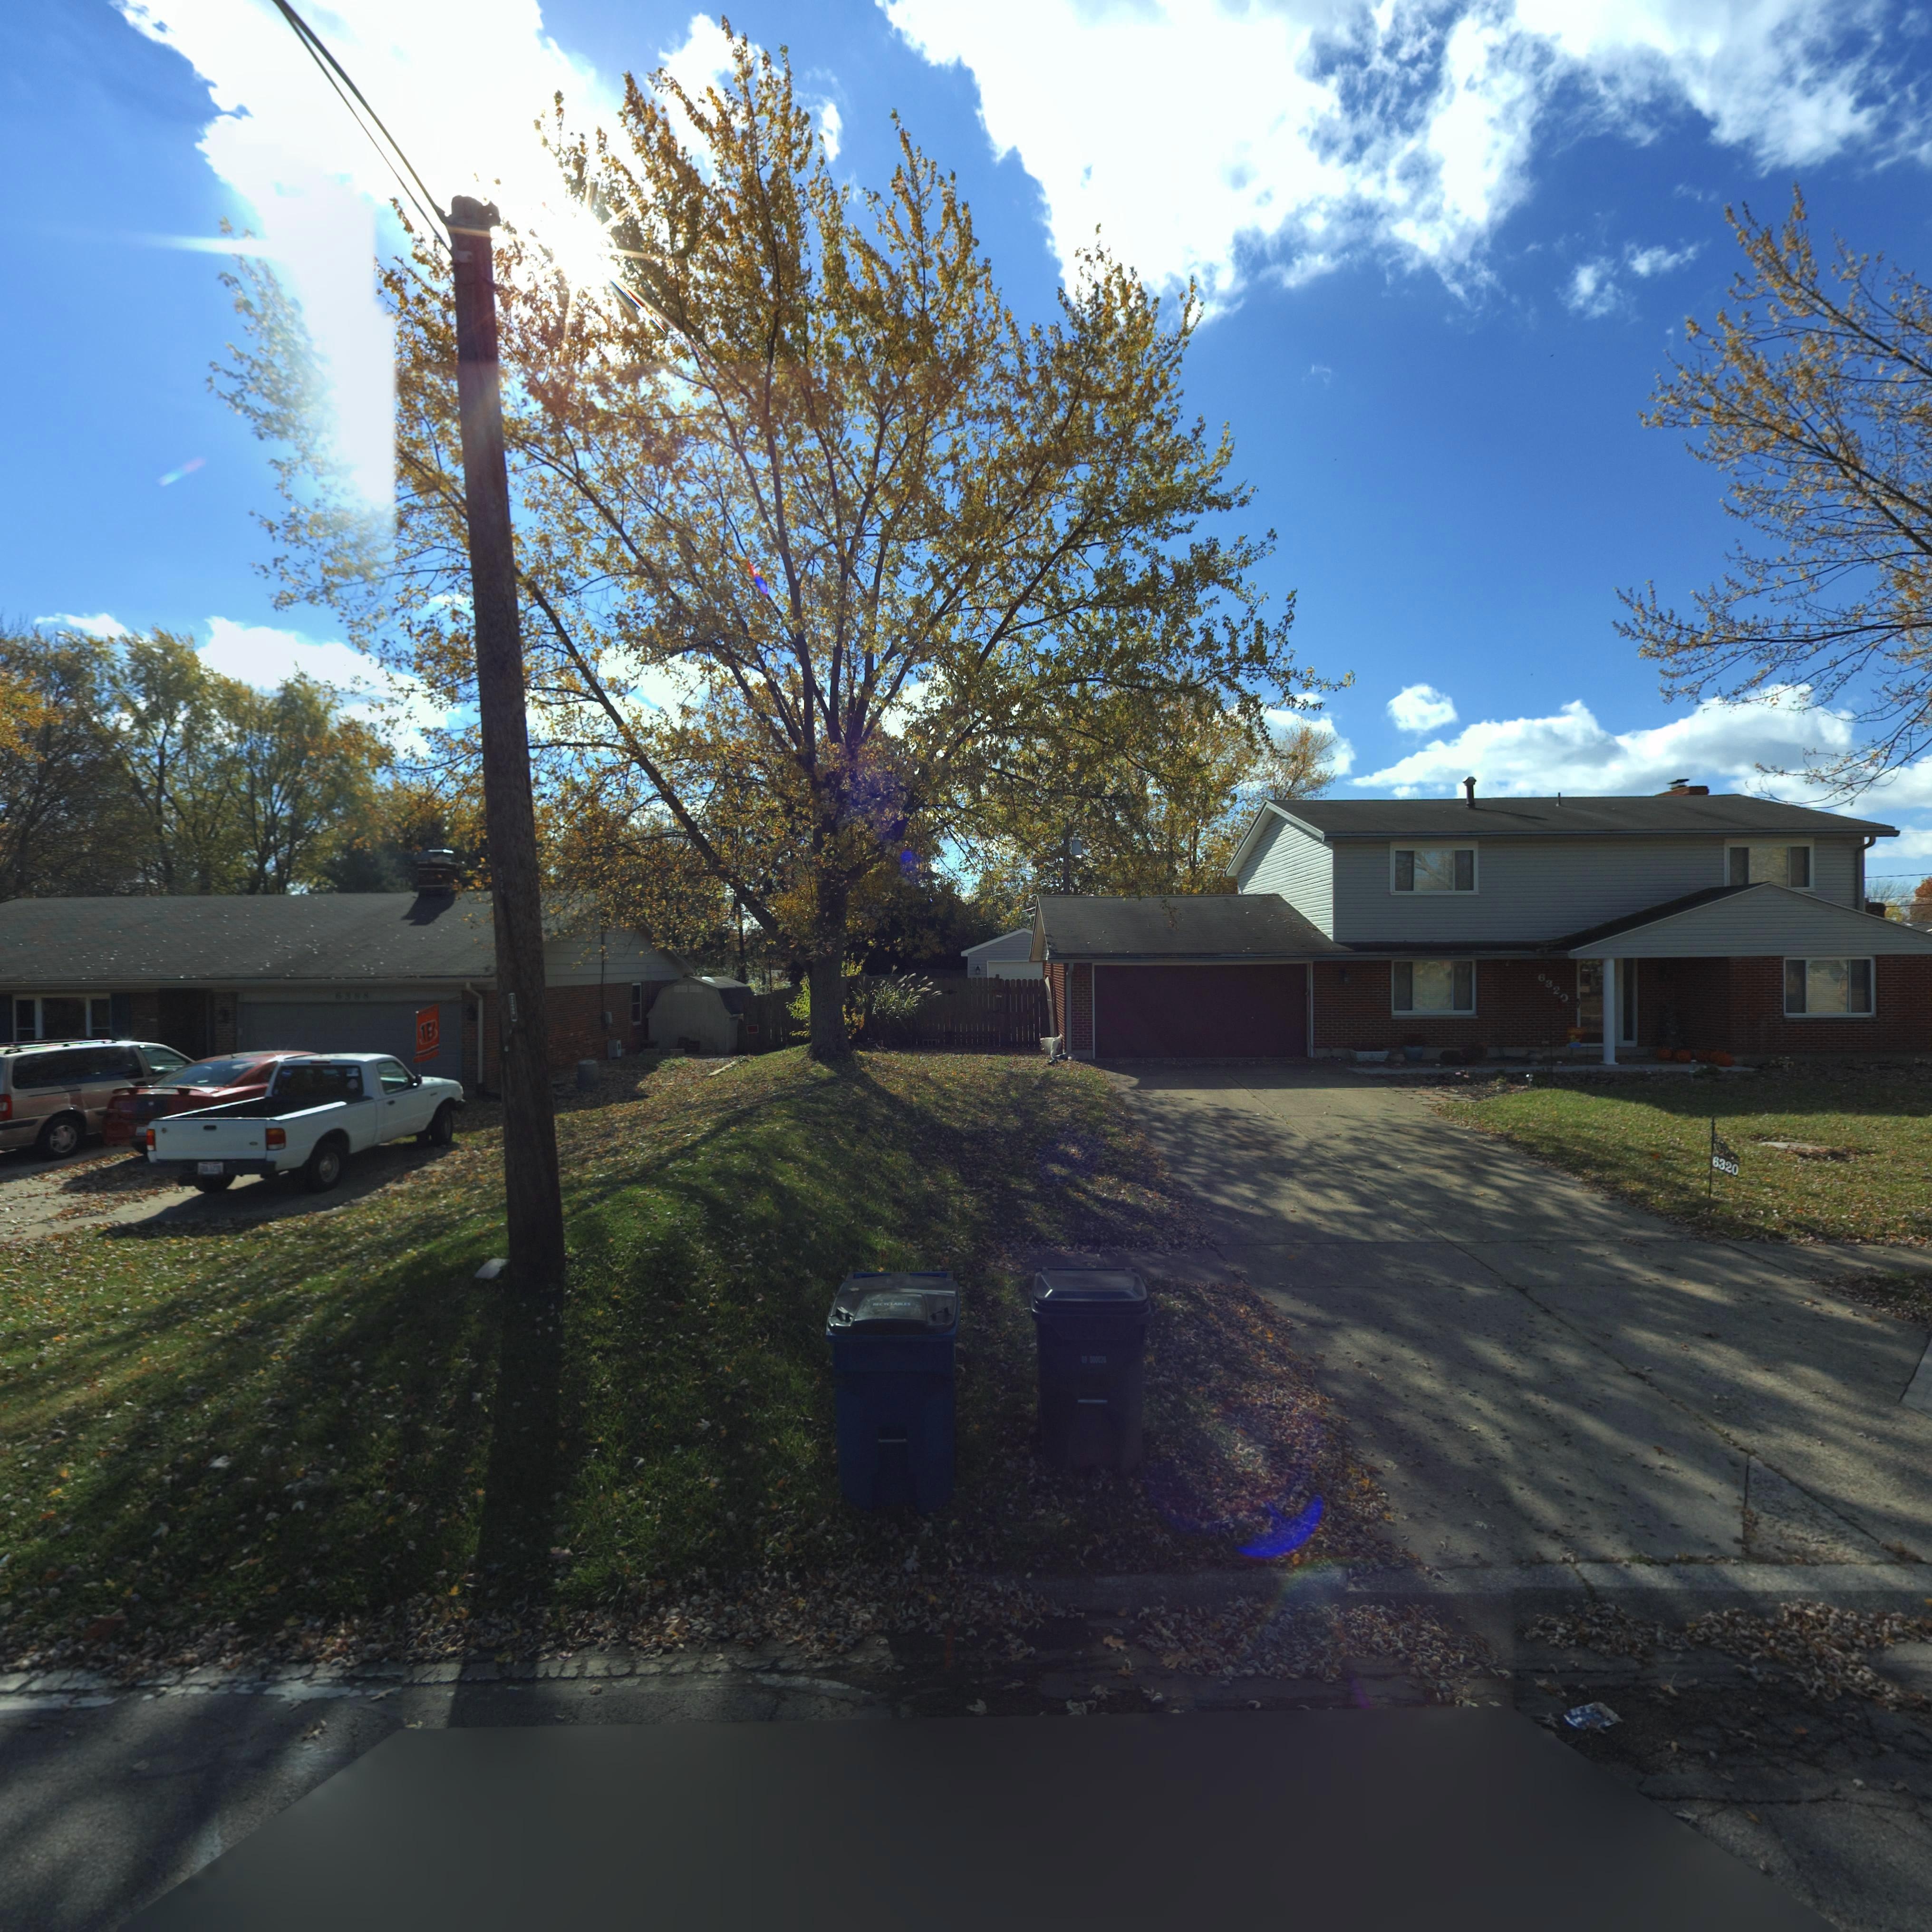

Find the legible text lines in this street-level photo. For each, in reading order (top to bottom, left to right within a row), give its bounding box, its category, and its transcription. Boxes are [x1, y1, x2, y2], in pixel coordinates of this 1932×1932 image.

[334, 990, 370, 1001] StreetNumber: 6388
[1537, 973, 1569, 1003] StreetNumber: 6320
[1711, 1155, 1739, 1176] StreetNumber: 6320